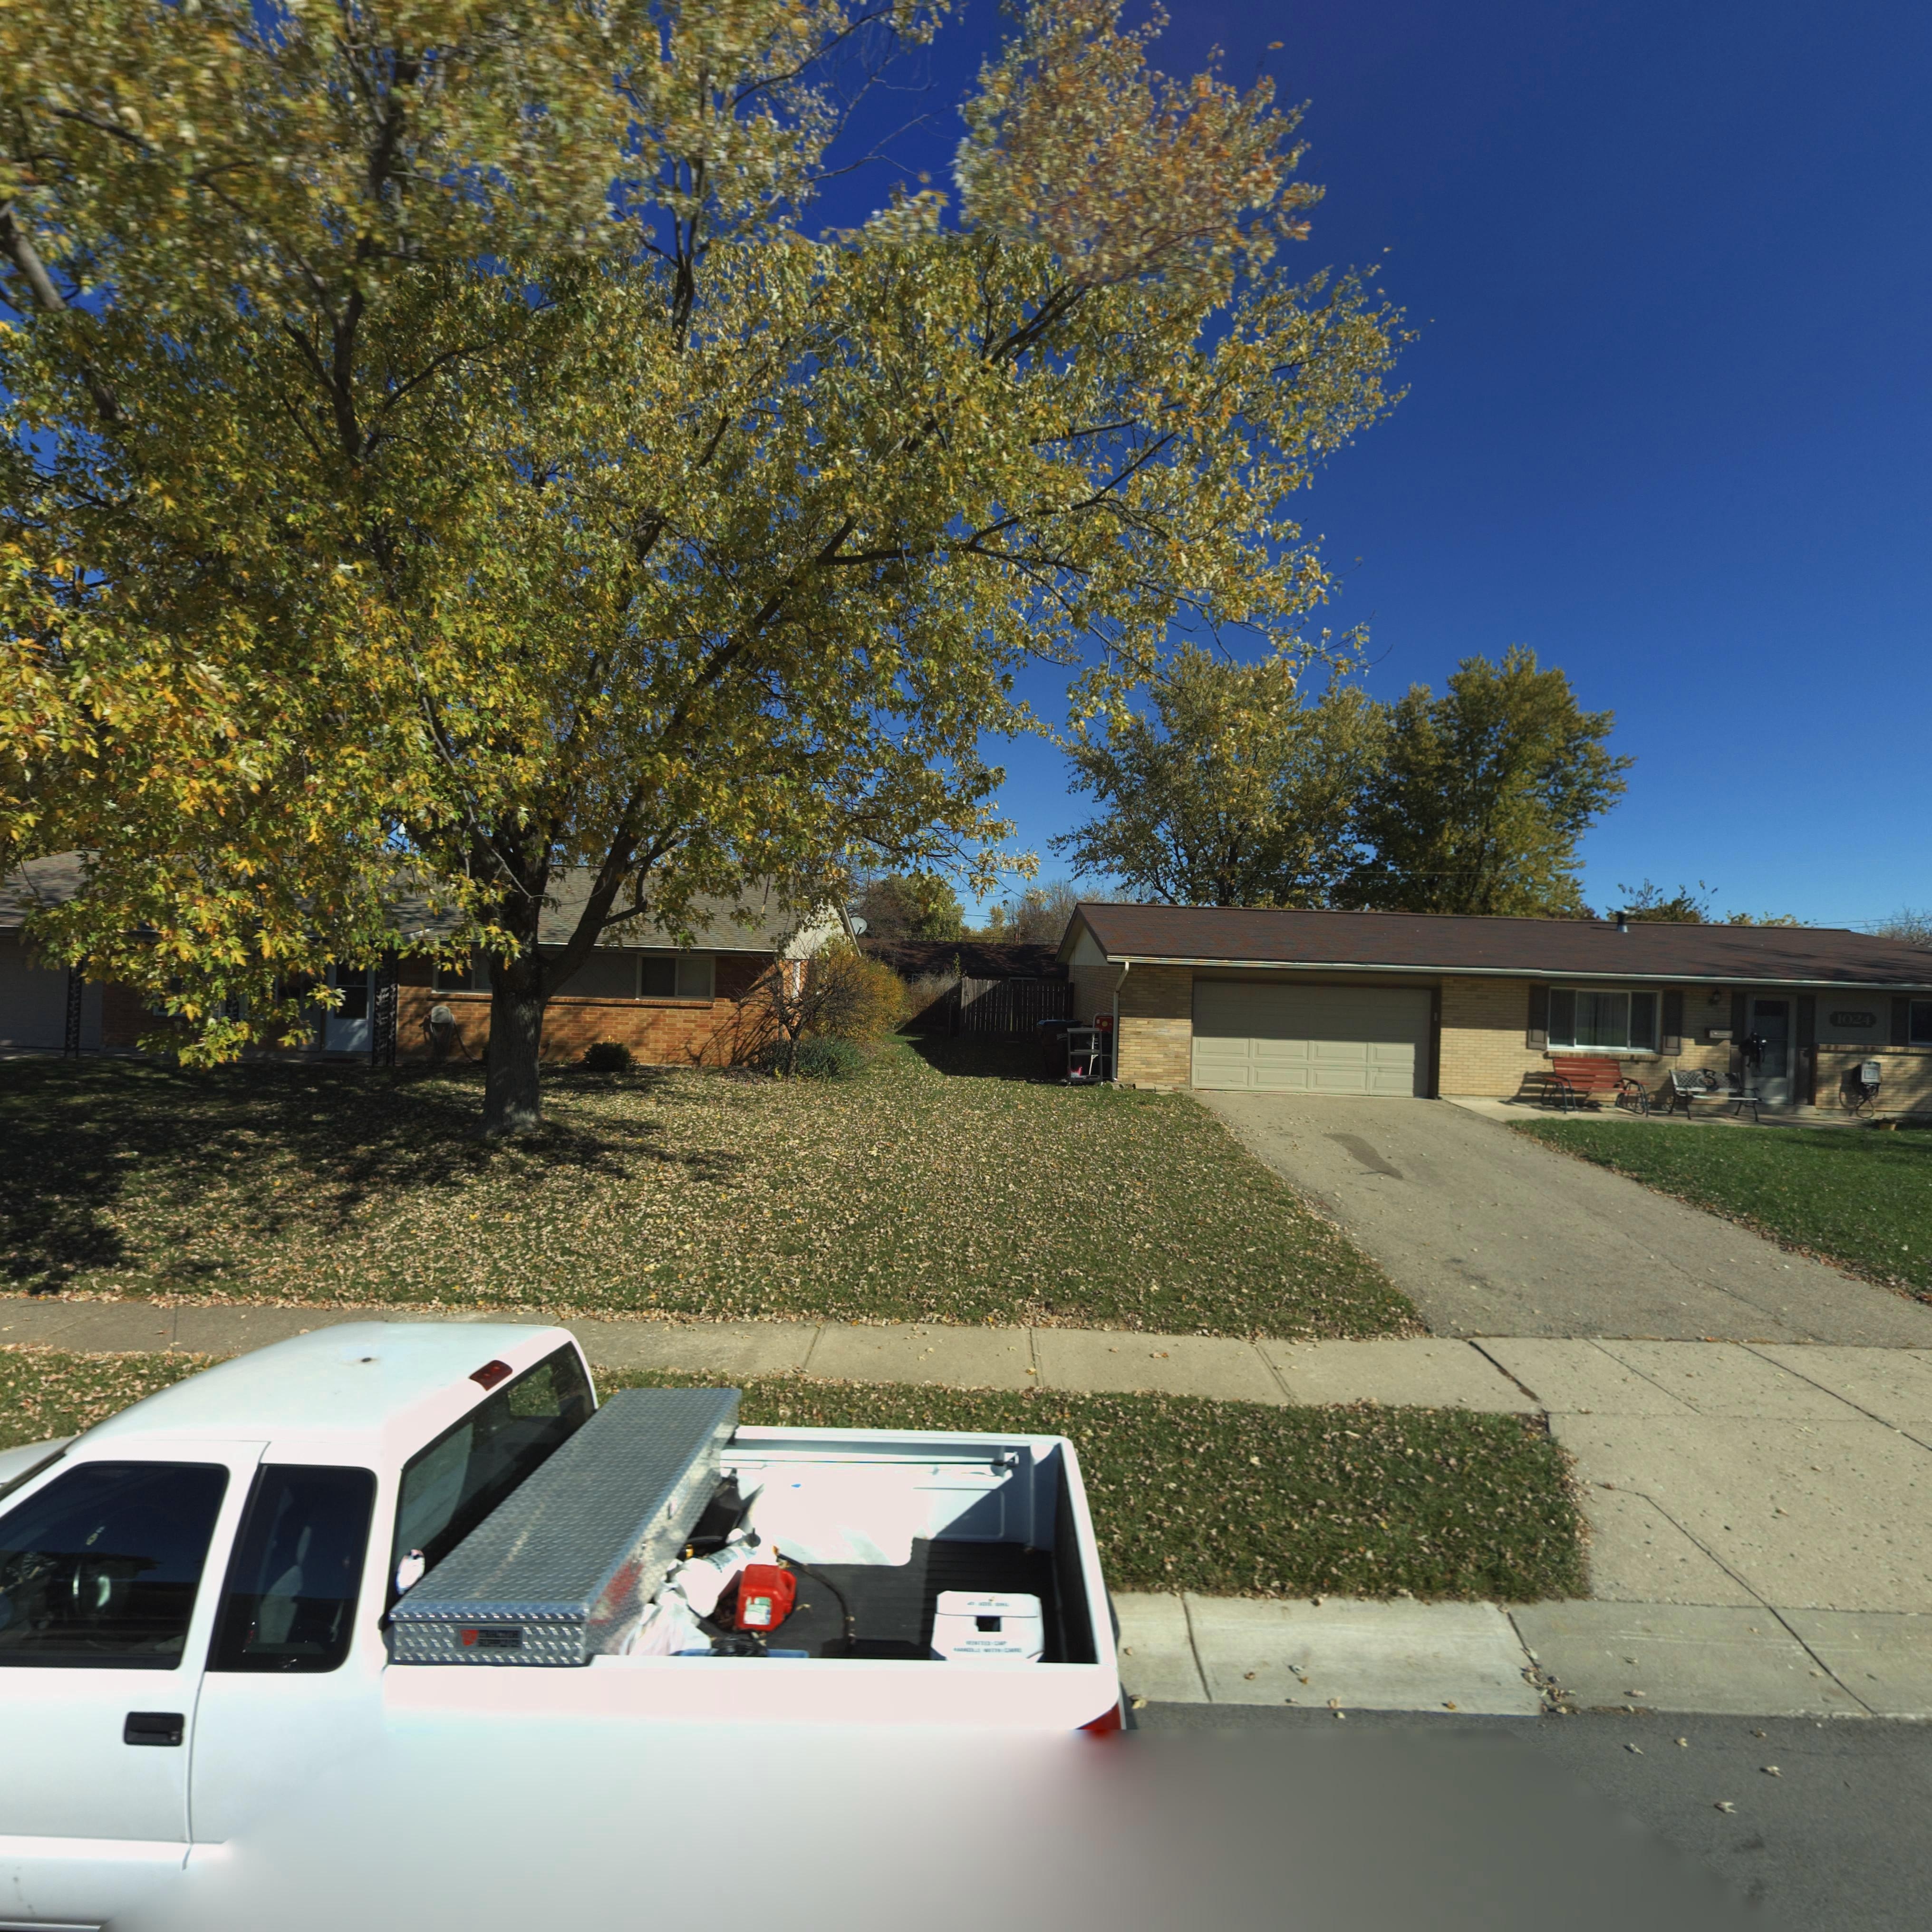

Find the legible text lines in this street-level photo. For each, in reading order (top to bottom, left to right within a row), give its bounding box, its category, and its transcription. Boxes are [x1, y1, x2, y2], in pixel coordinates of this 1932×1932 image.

[1835, 1013, 1873, 1026] StreetNumber: 1024